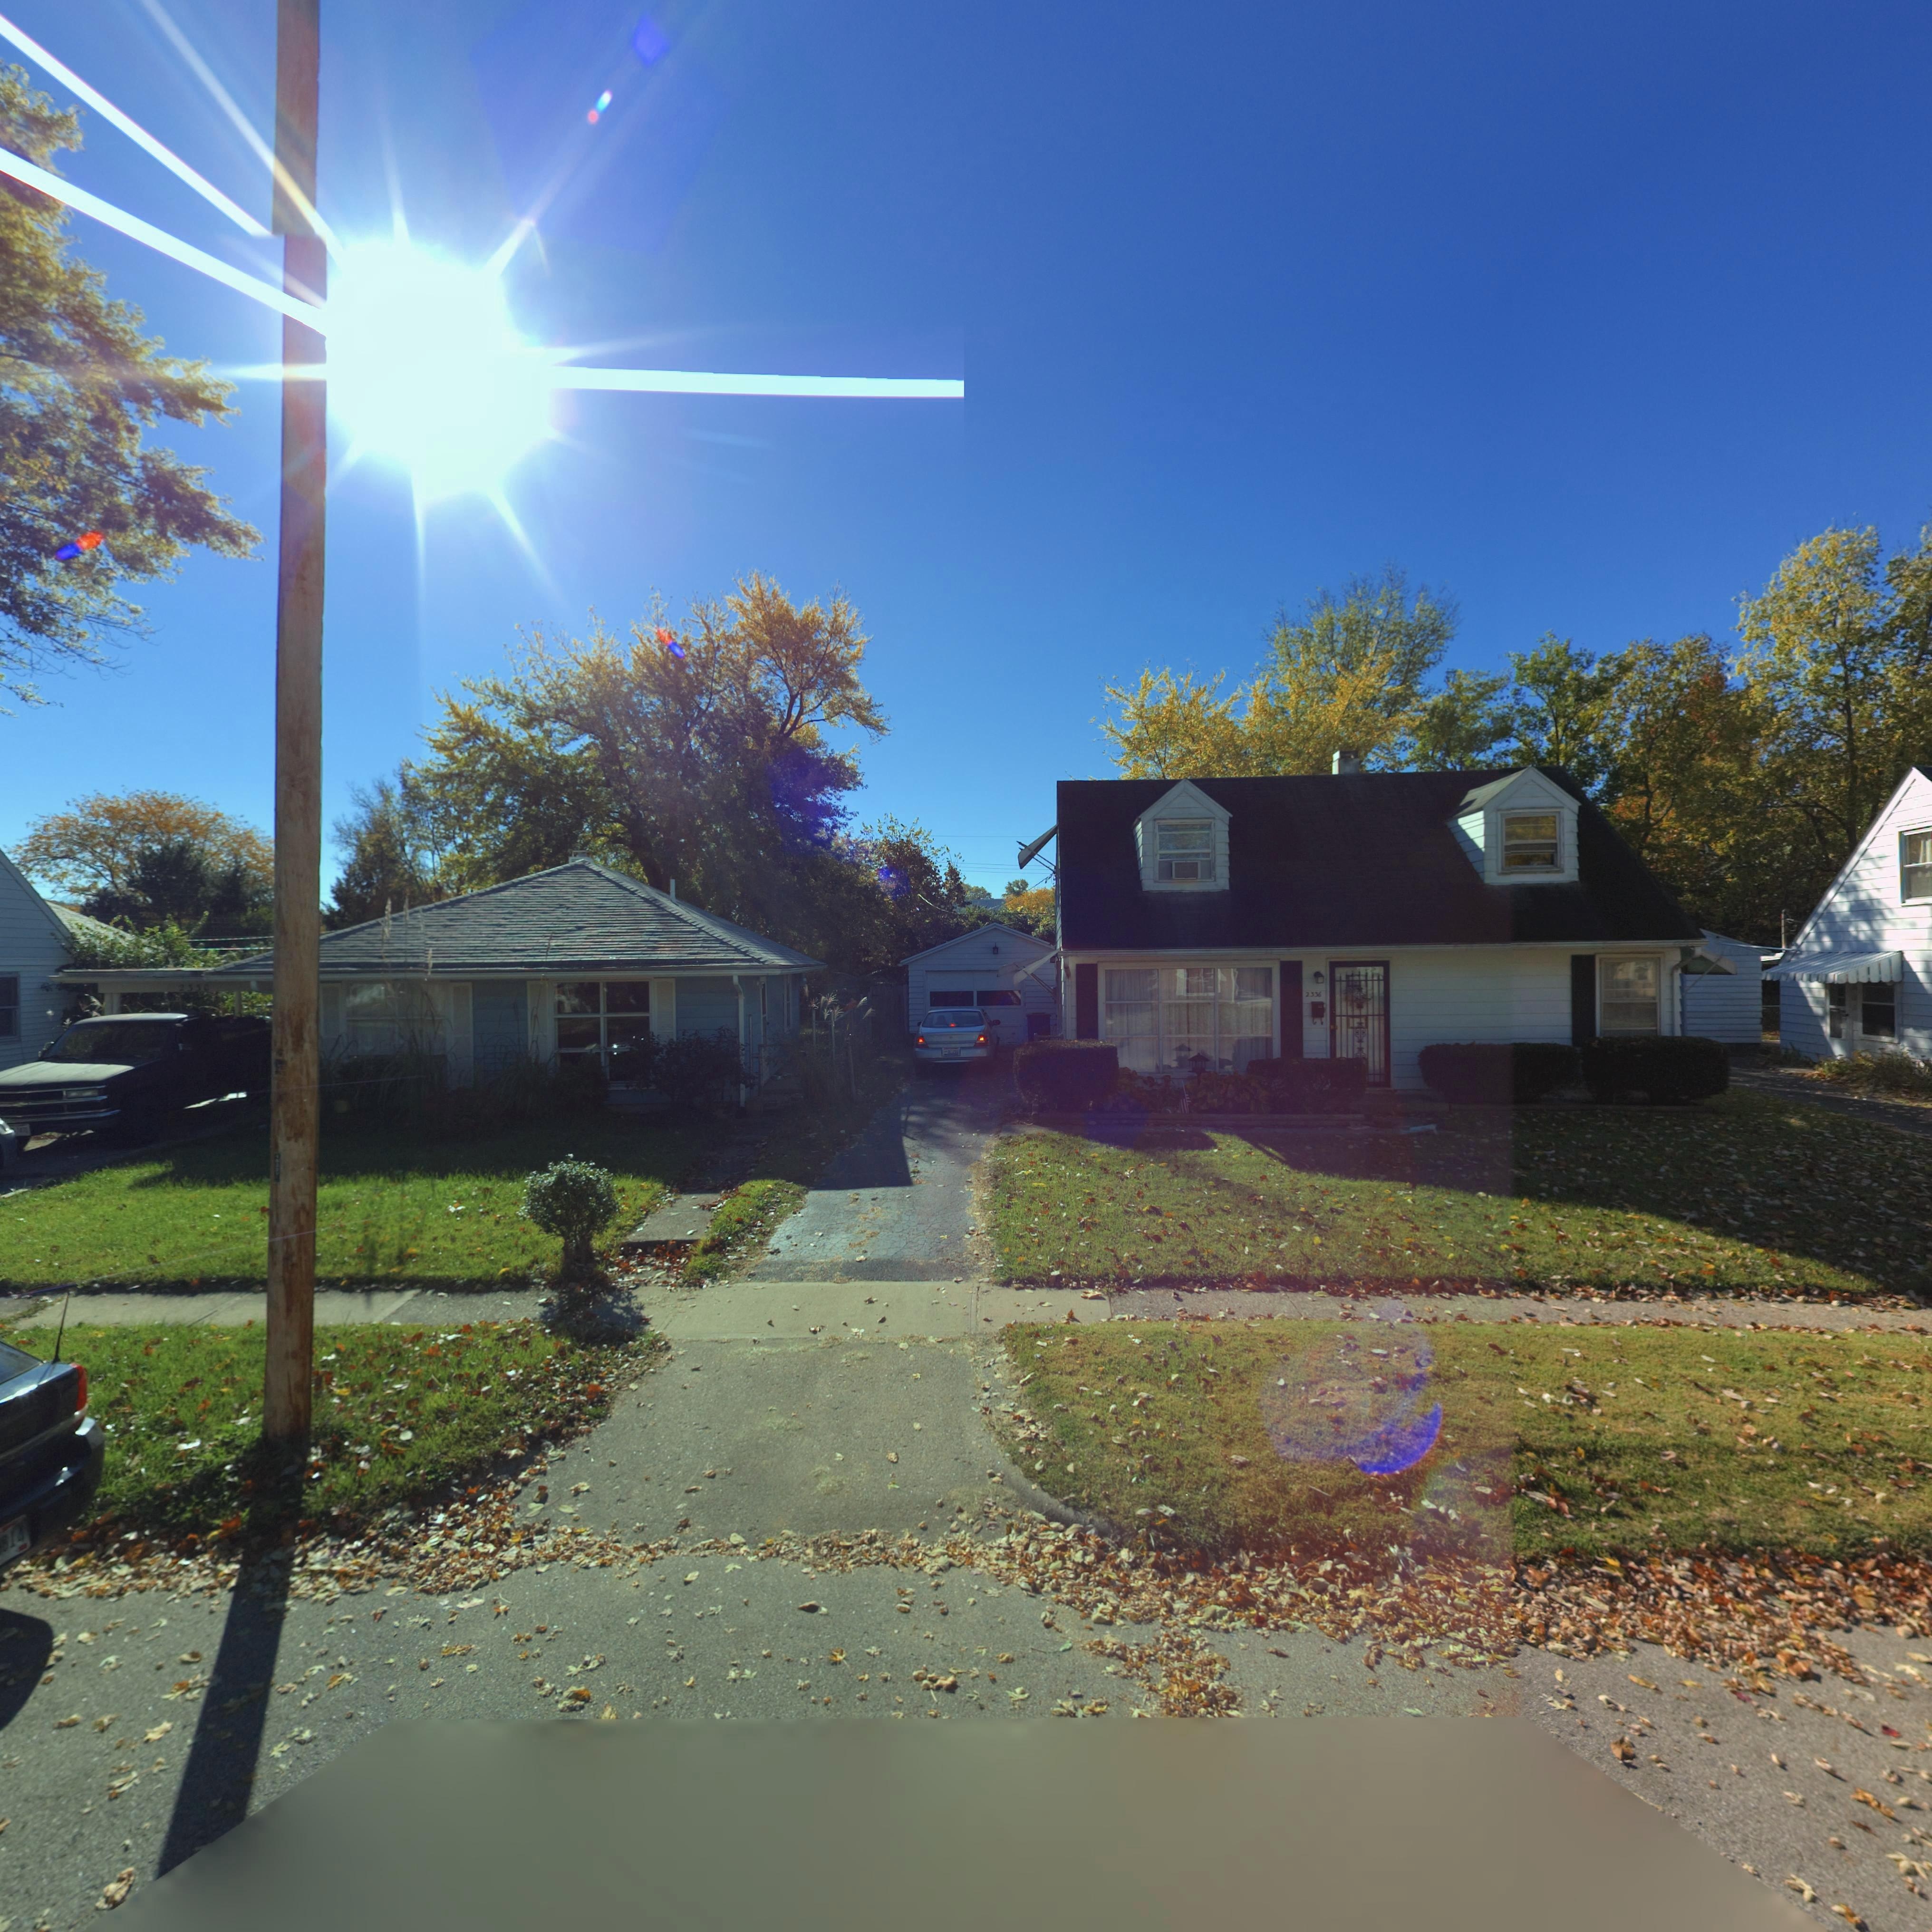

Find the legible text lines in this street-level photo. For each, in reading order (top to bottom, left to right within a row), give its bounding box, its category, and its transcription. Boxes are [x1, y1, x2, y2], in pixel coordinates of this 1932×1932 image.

[177, 983, 211, 992] StreetNumber: 2***
[1304, 990, 1323, 998] StreetNumber: 2336